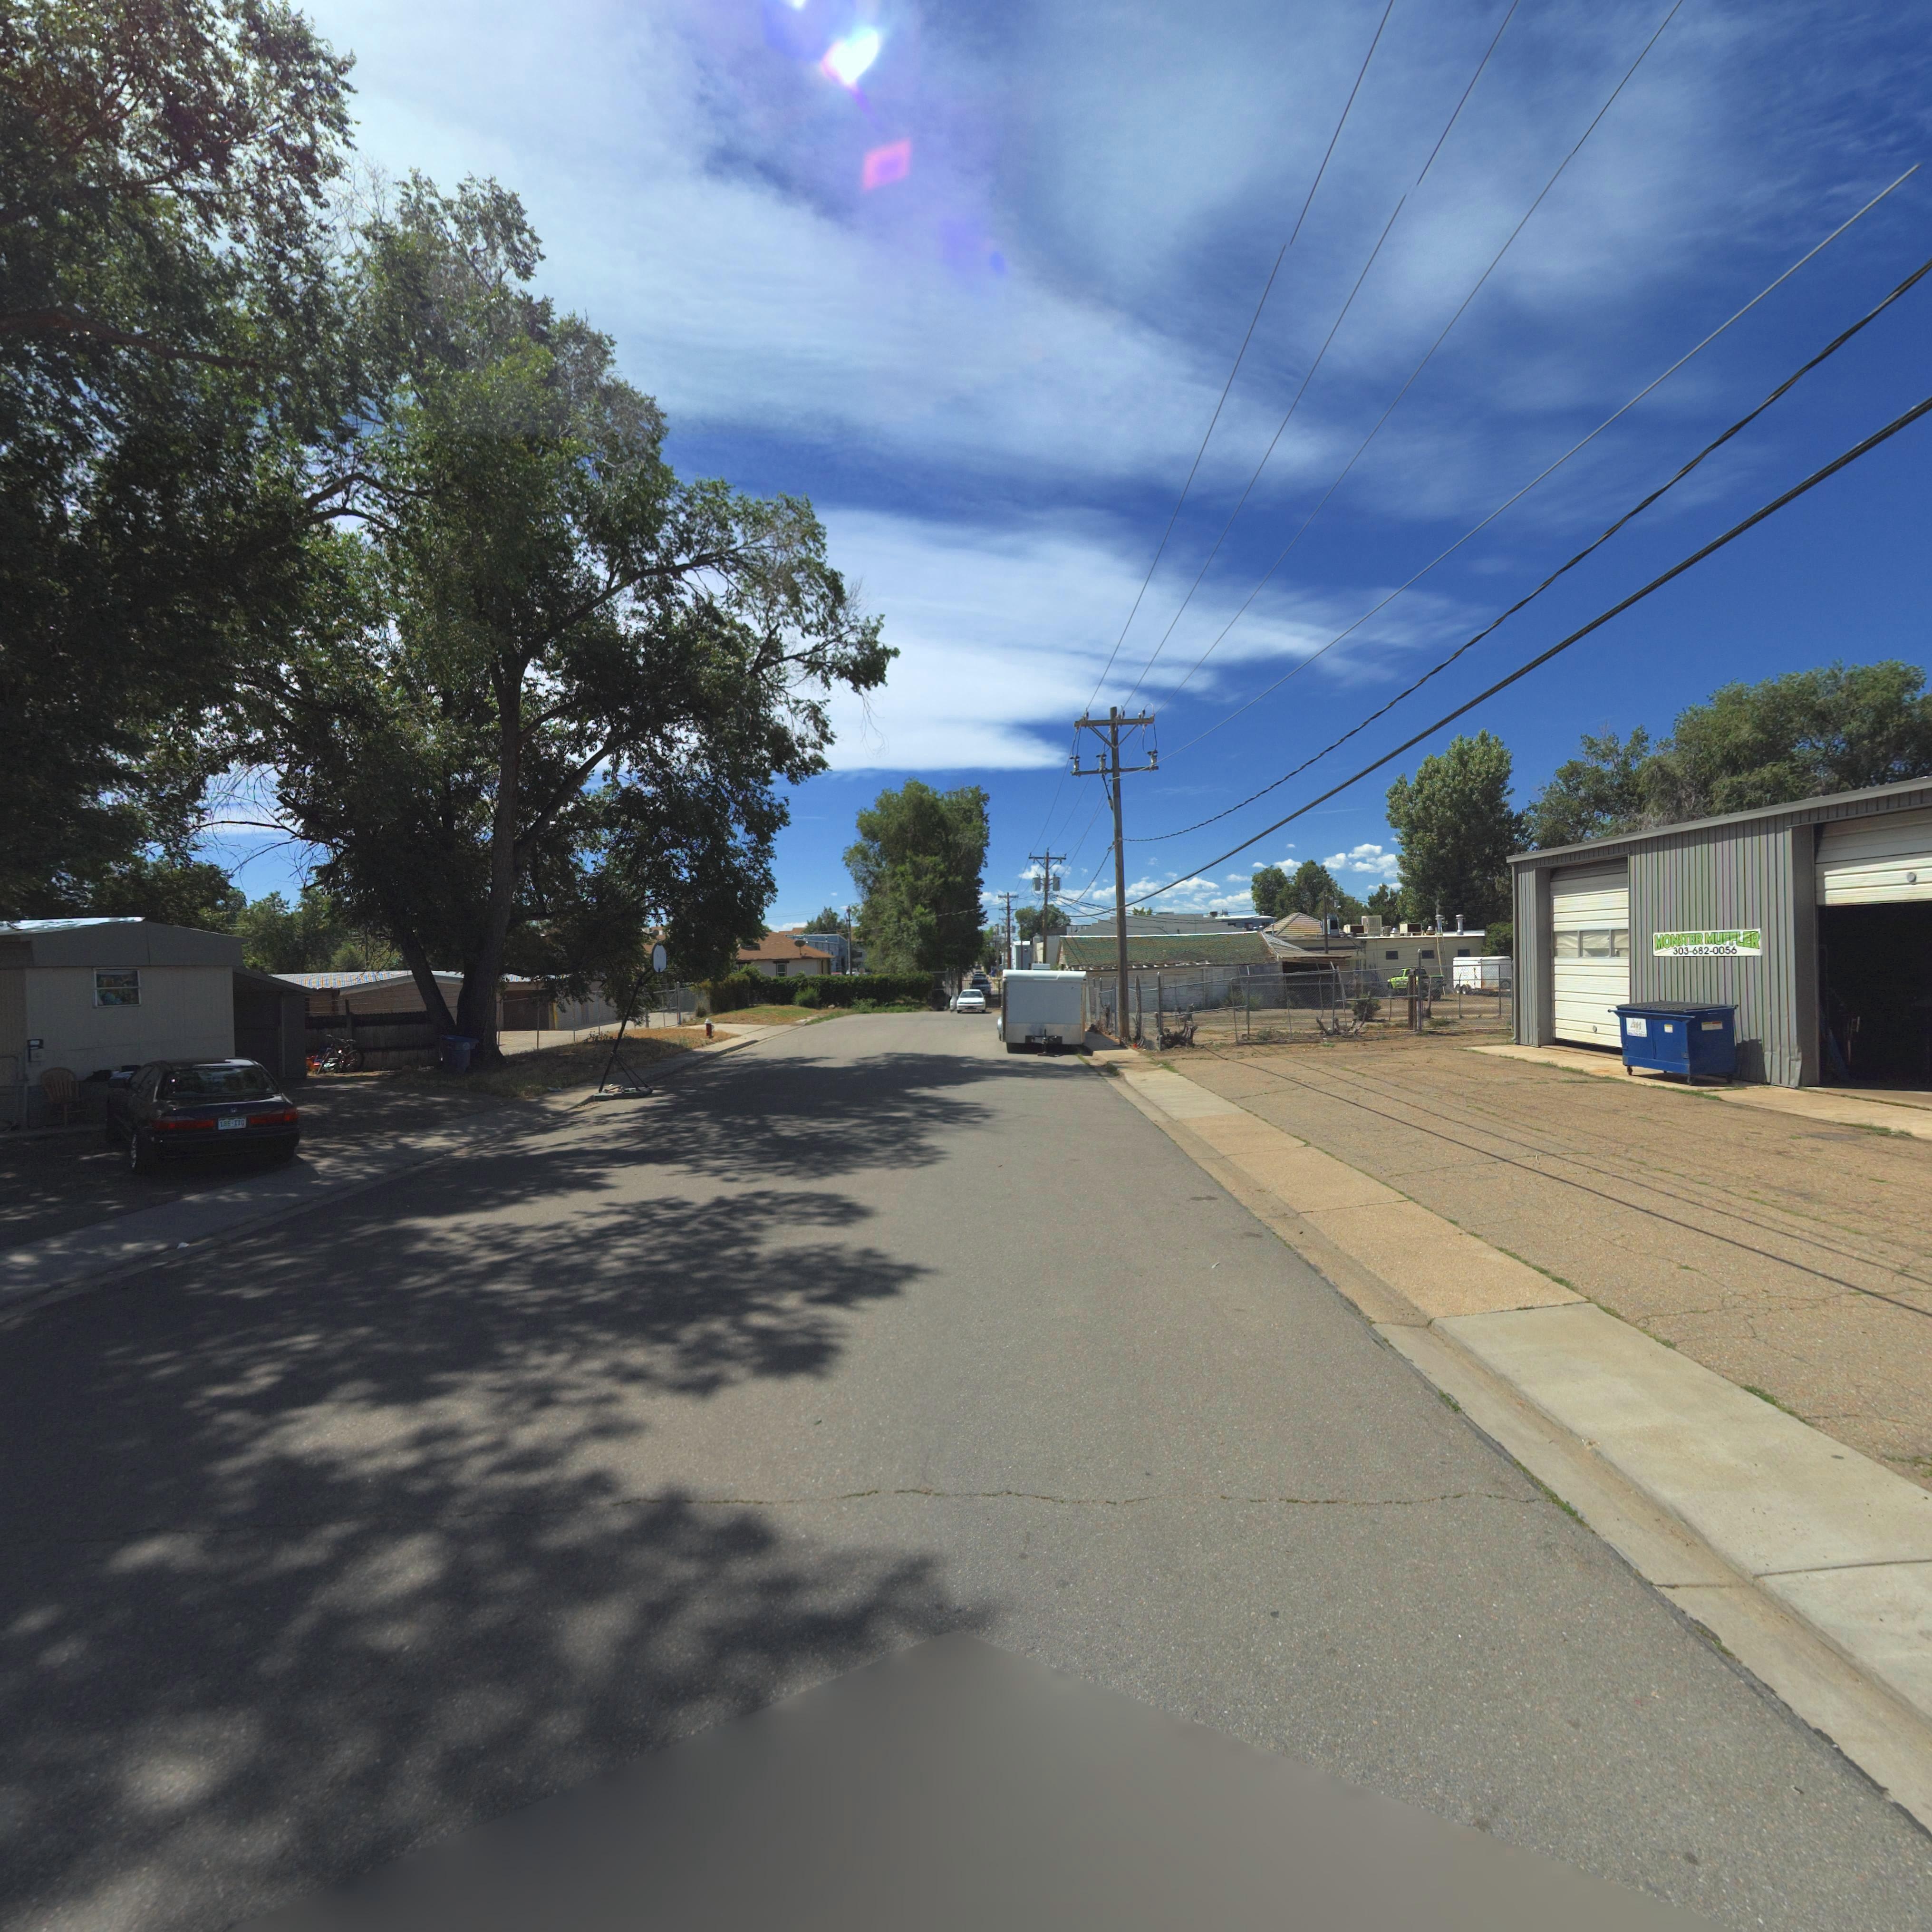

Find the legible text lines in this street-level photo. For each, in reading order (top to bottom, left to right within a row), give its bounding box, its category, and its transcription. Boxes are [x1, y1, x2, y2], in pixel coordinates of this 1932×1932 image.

[1654, 930, 1760, 951] BusinessName: MONSTER MUFFLER